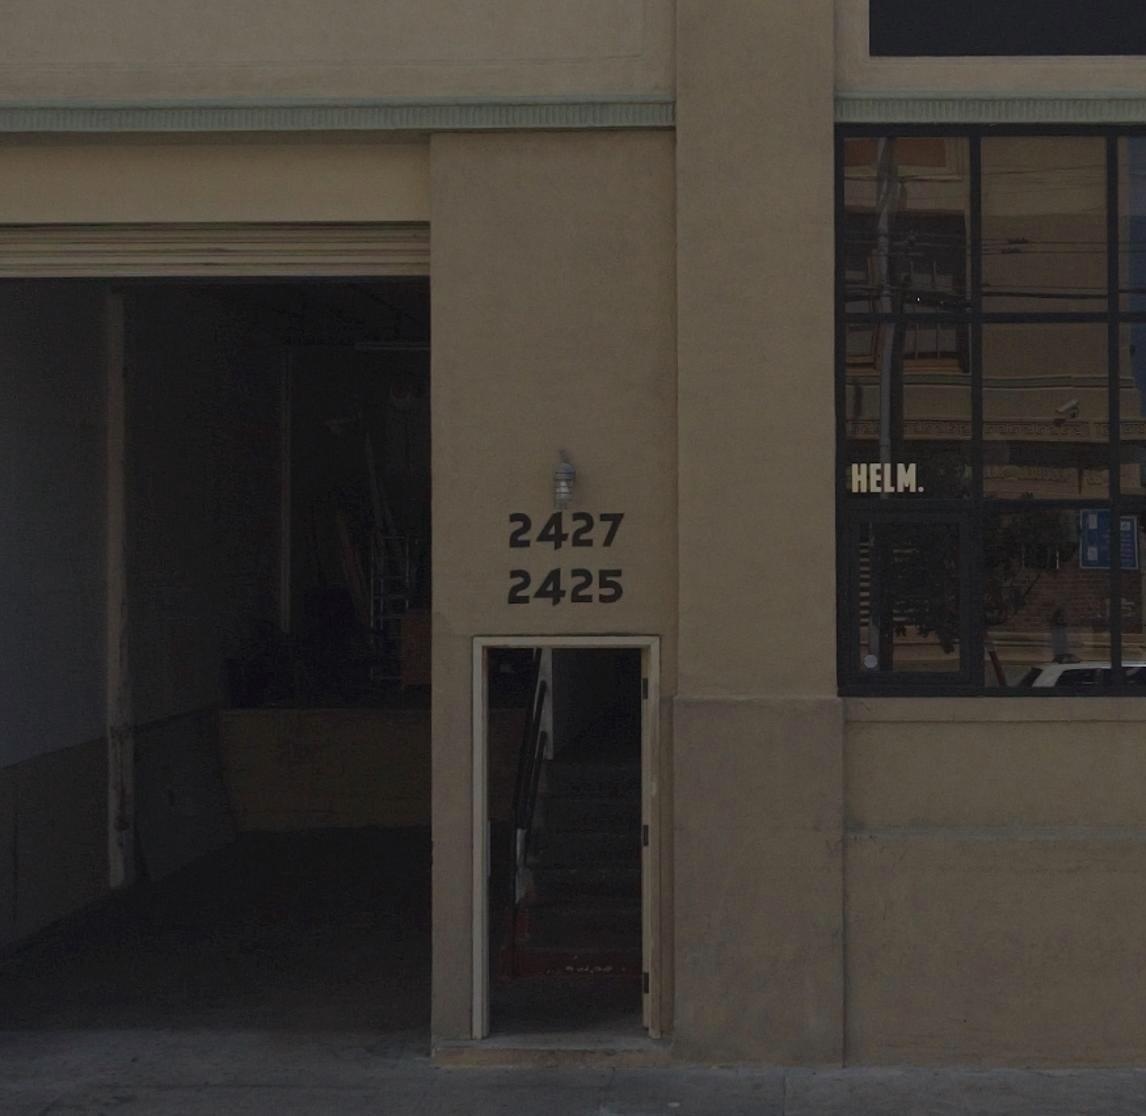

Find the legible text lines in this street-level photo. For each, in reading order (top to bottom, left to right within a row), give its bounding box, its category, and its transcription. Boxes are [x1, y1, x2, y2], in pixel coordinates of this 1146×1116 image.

[848, 461, 927, 494] None: HELM.
[507, 510, 626, 553] StreetNumber: 2427
[505, 565, 626, 608] StreetNumber: 2425